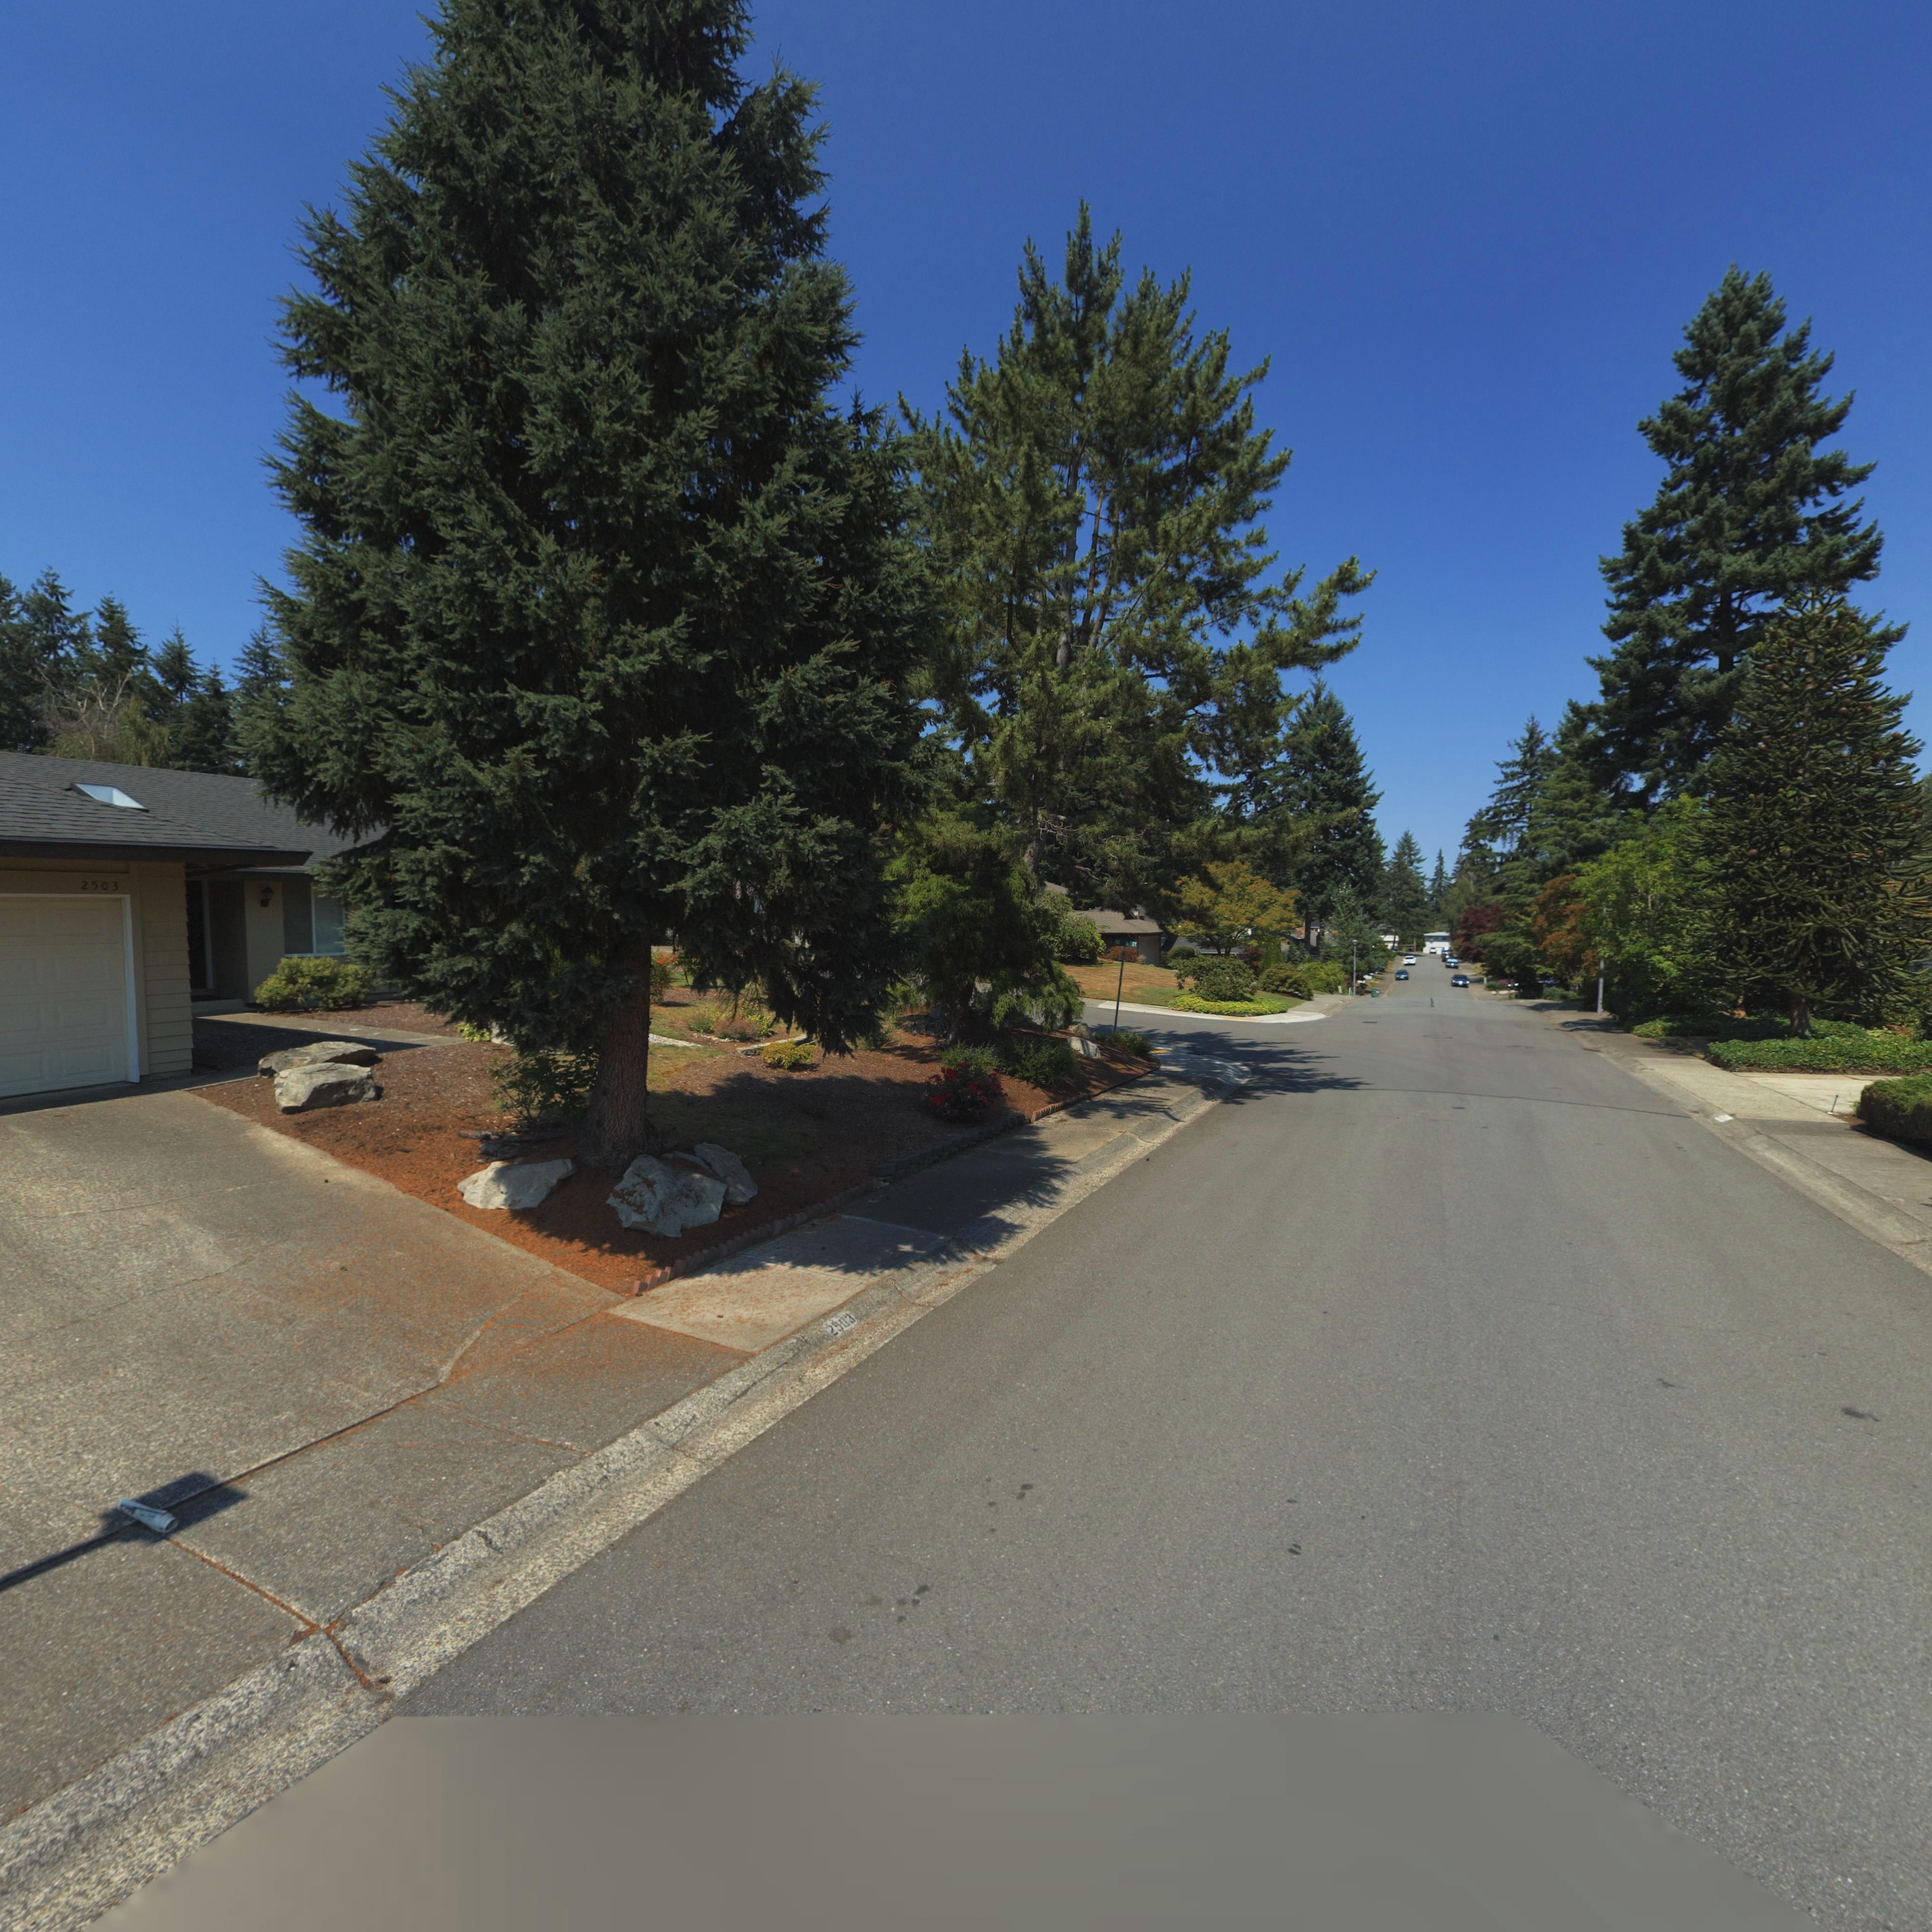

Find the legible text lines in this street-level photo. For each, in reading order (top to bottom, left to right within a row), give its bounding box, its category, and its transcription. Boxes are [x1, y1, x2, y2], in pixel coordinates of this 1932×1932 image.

[81, 880, 119, 892] StreetNumber: 2503
[1116, 939, 1137, 946] StreetName: *E 6 ST
[825, 1313, 856, 1336] StreetNumber: 2503